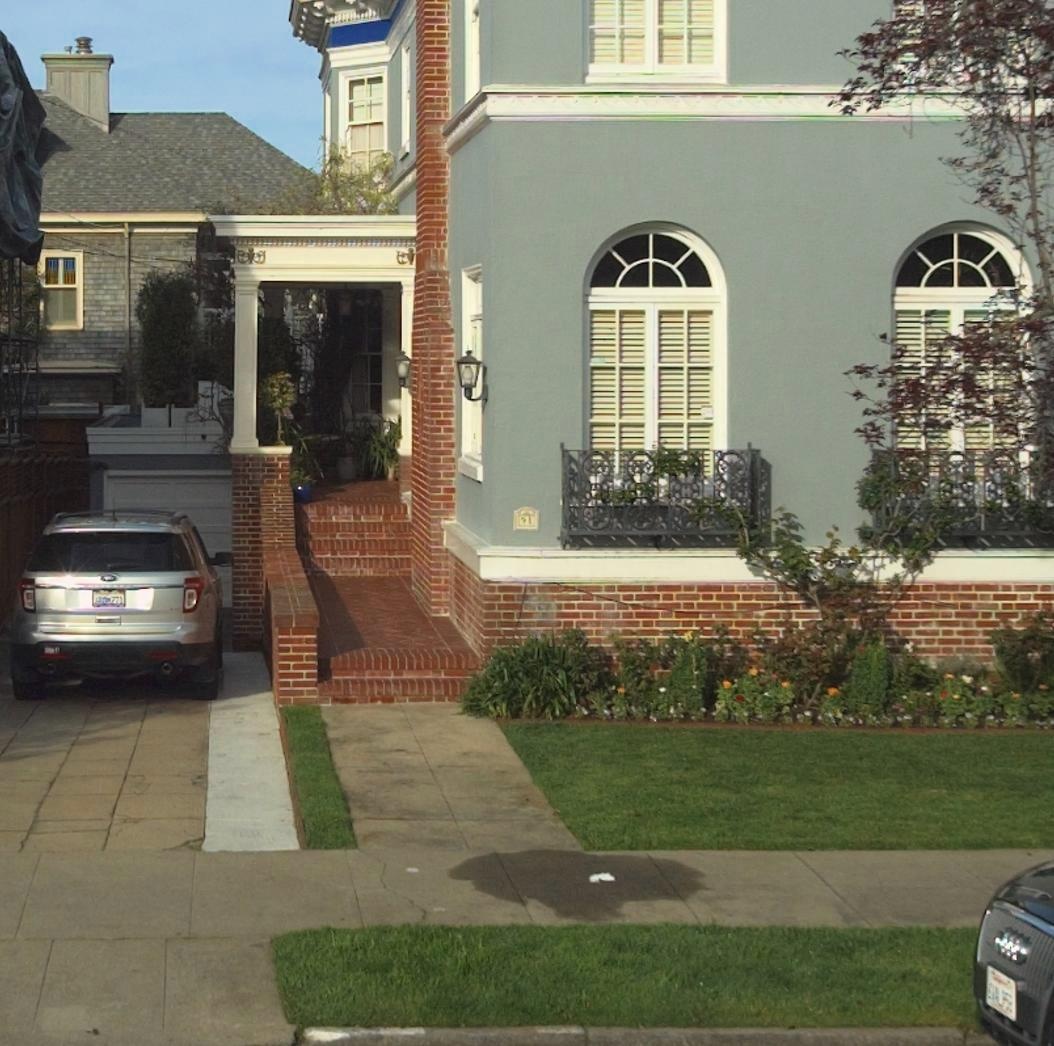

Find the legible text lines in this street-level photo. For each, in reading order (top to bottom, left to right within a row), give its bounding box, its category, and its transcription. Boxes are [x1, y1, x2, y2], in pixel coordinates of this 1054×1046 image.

[519, 514, 534, 526] StreetNumber: 91